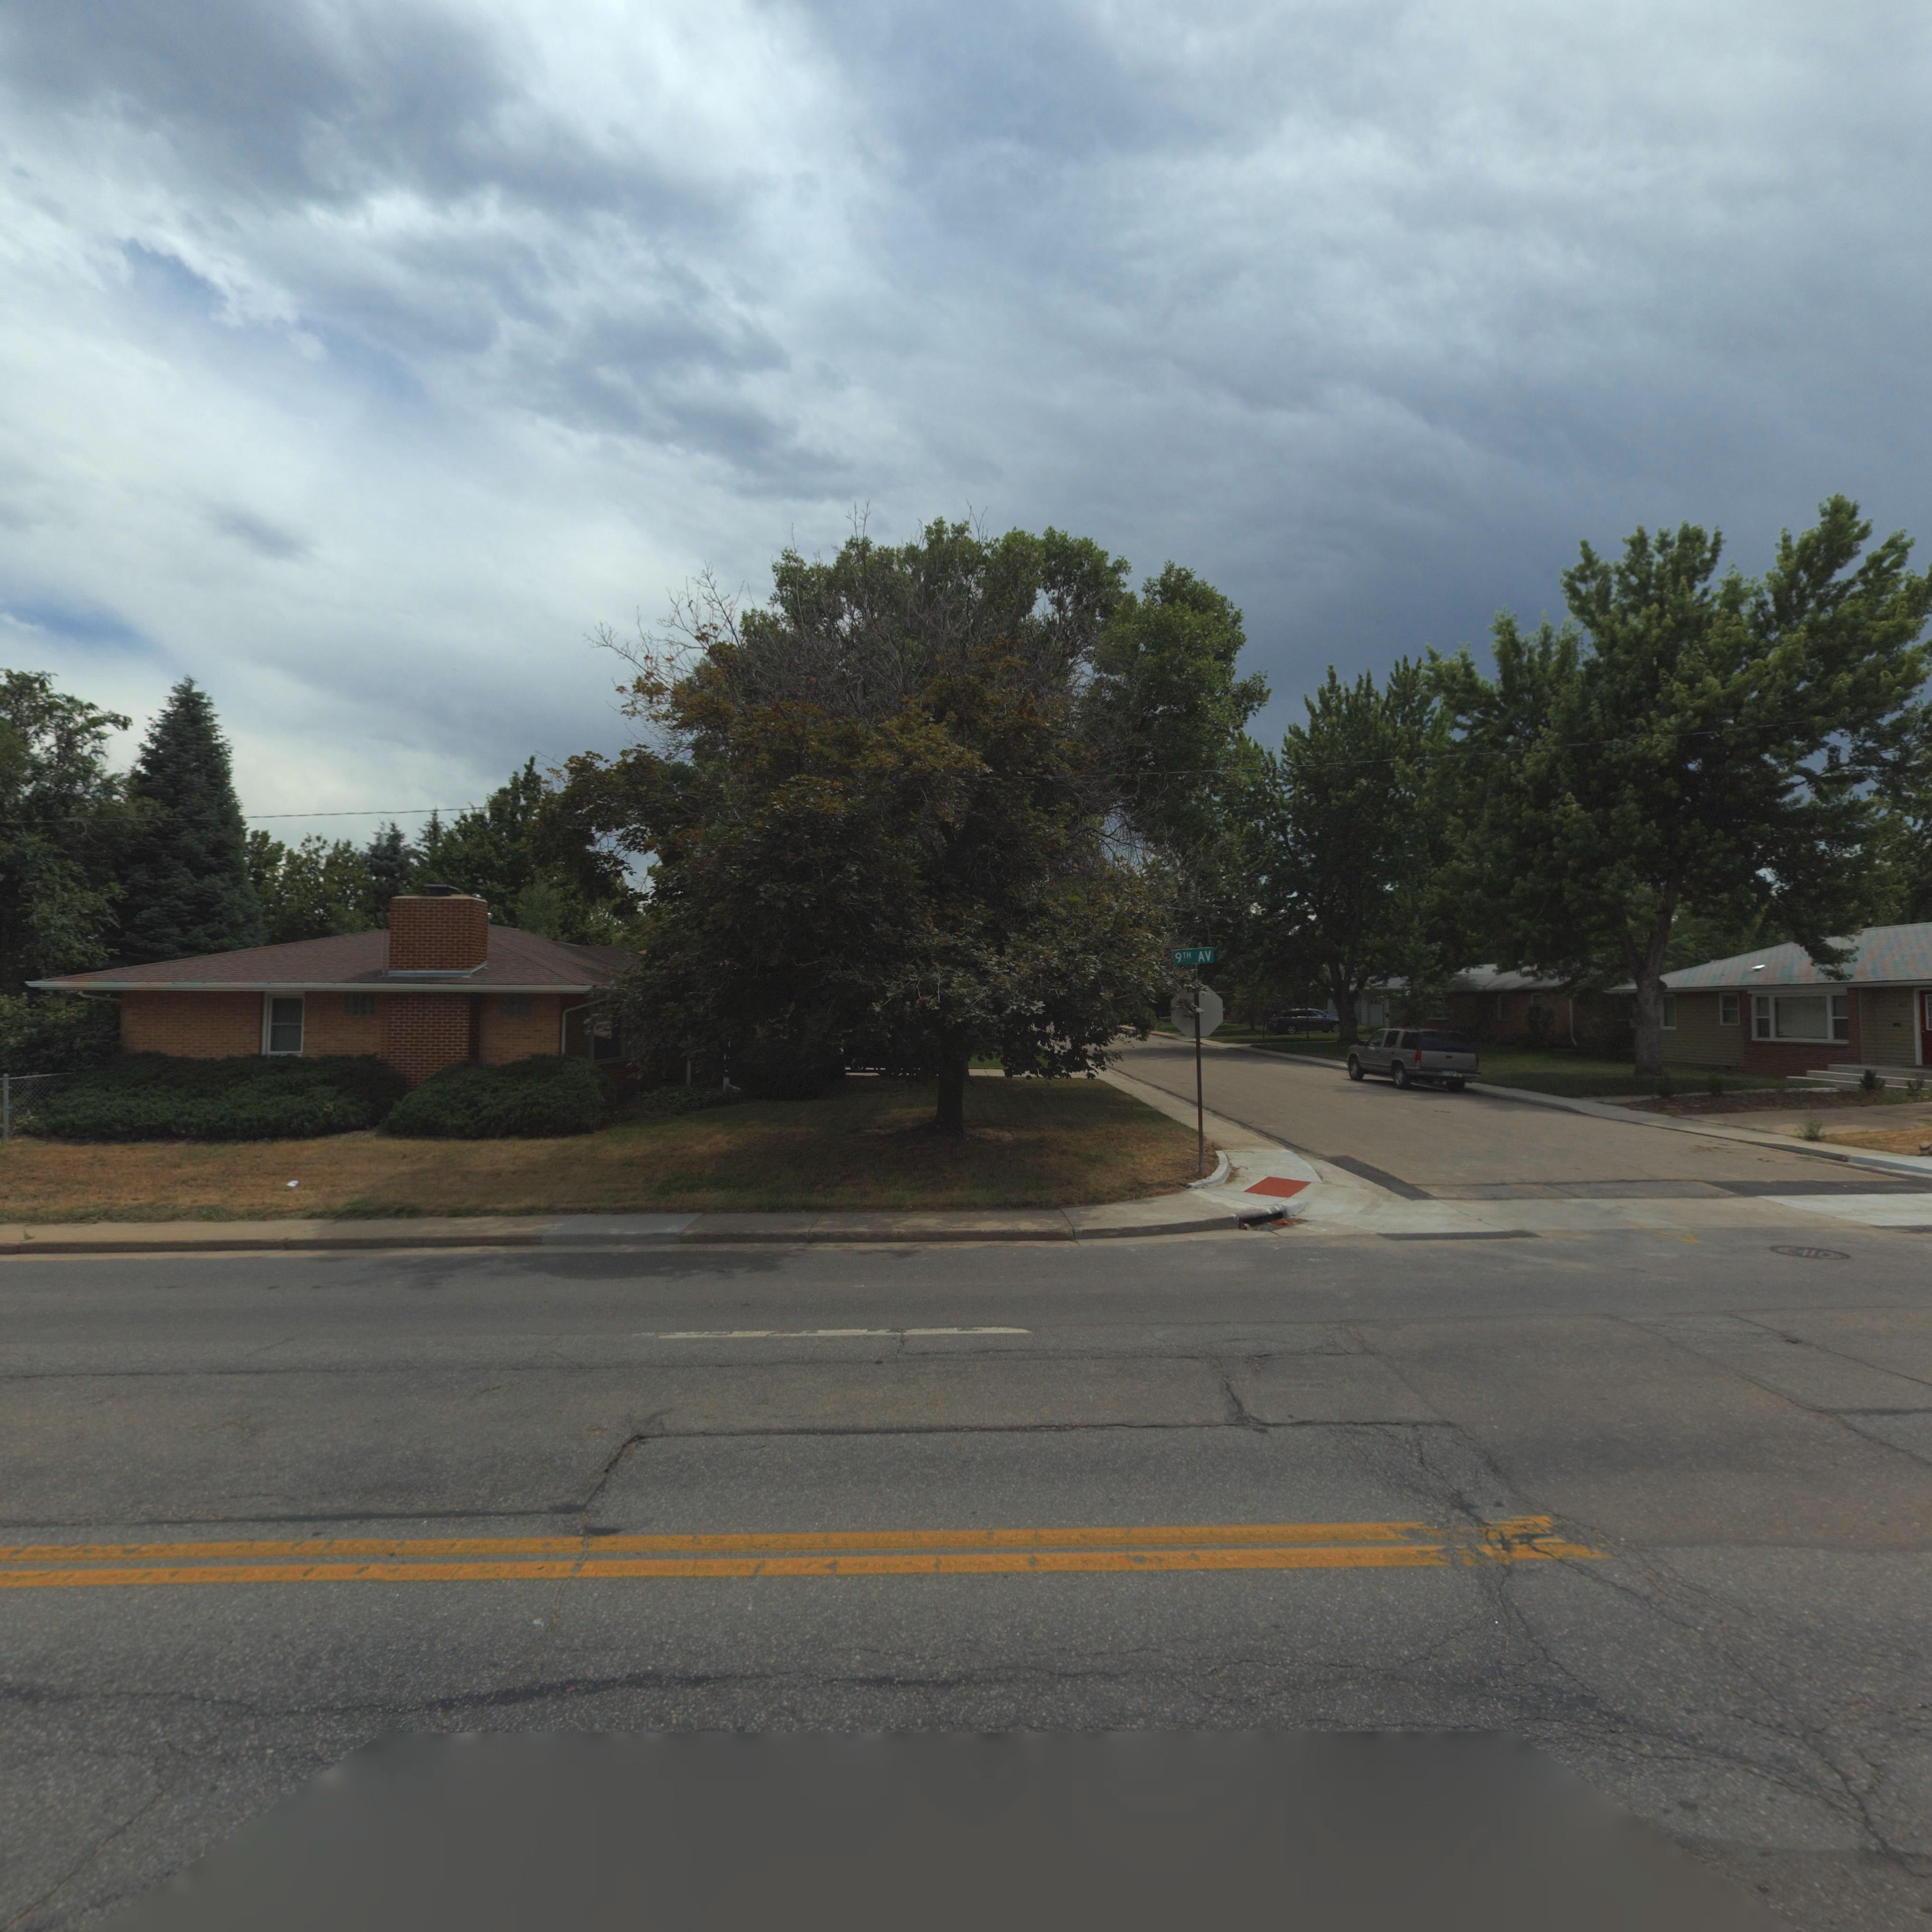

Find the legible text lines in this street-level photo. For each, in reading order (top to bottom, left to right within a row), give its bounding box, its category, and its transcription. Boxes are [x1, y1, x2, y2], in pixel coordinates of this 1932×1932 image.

[1175, 950, 1211, 962] StreetName: 9TH AV